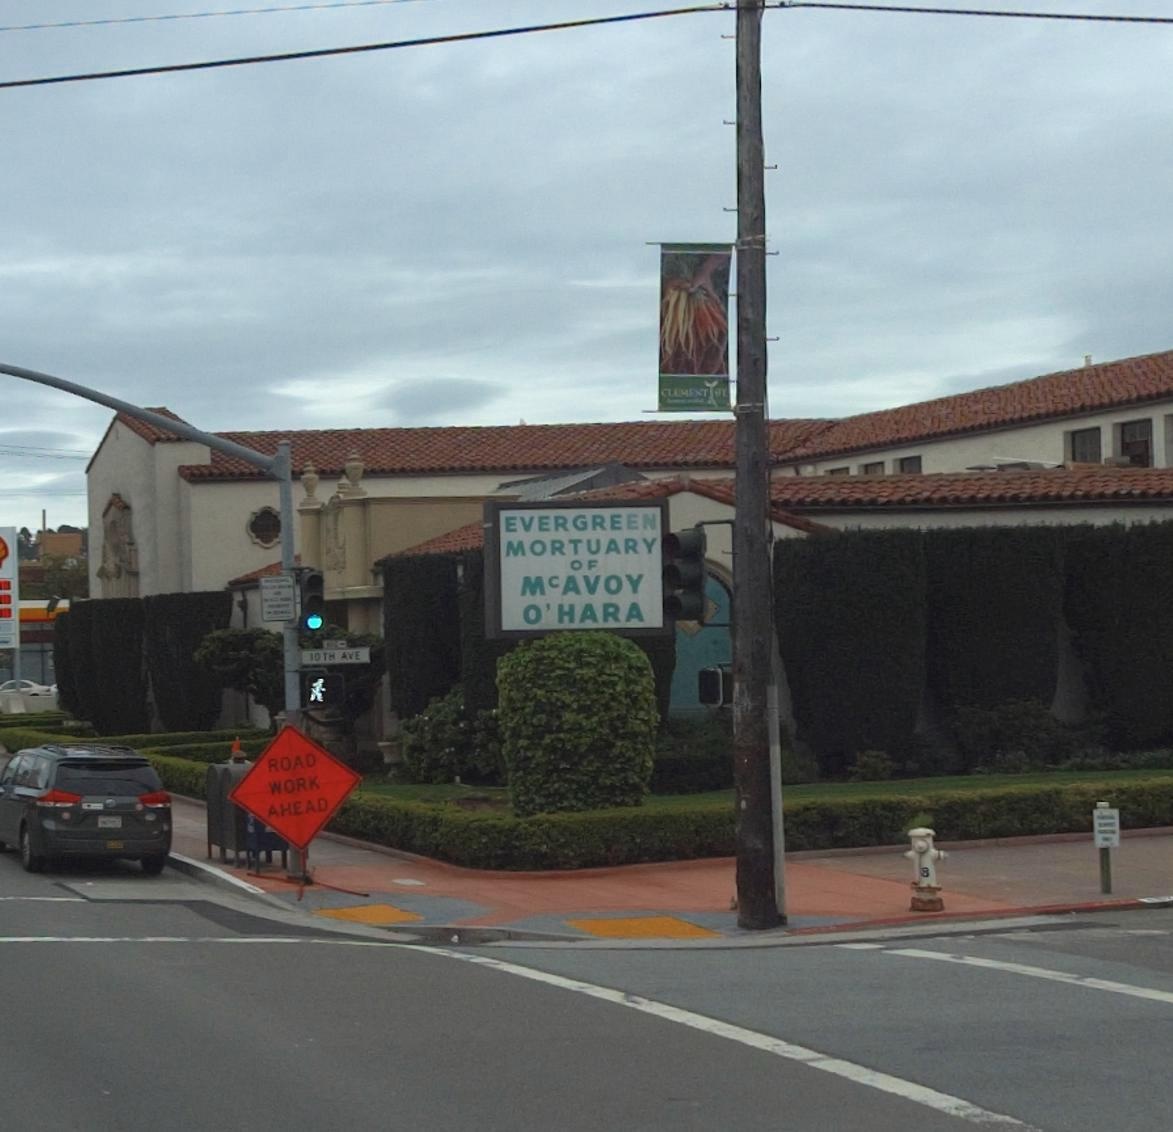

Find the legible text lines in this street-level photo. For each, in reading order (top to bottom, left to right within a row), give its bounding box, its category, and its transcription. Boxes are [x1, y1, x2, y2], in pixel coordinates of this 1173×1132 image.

[503, 512, 658, 535] BusinessName: EVERGREEN
[502, 535, 661, 559] BusinessName: MORTUARY
[568, 558, 599, 572] BusinessName: OF
[518, 572, 648, 598] BusinessName: McAVOY
[520, 600, 649, 627] BusinessName: O'HARA
[308, 649, 362, 664] StreetName: 10TH AVE
[266, 751, 319, 775] None: ROAD
[265, 773, 323, 798] None: WORK
[264, 795, 331, 822] None: AHEAD